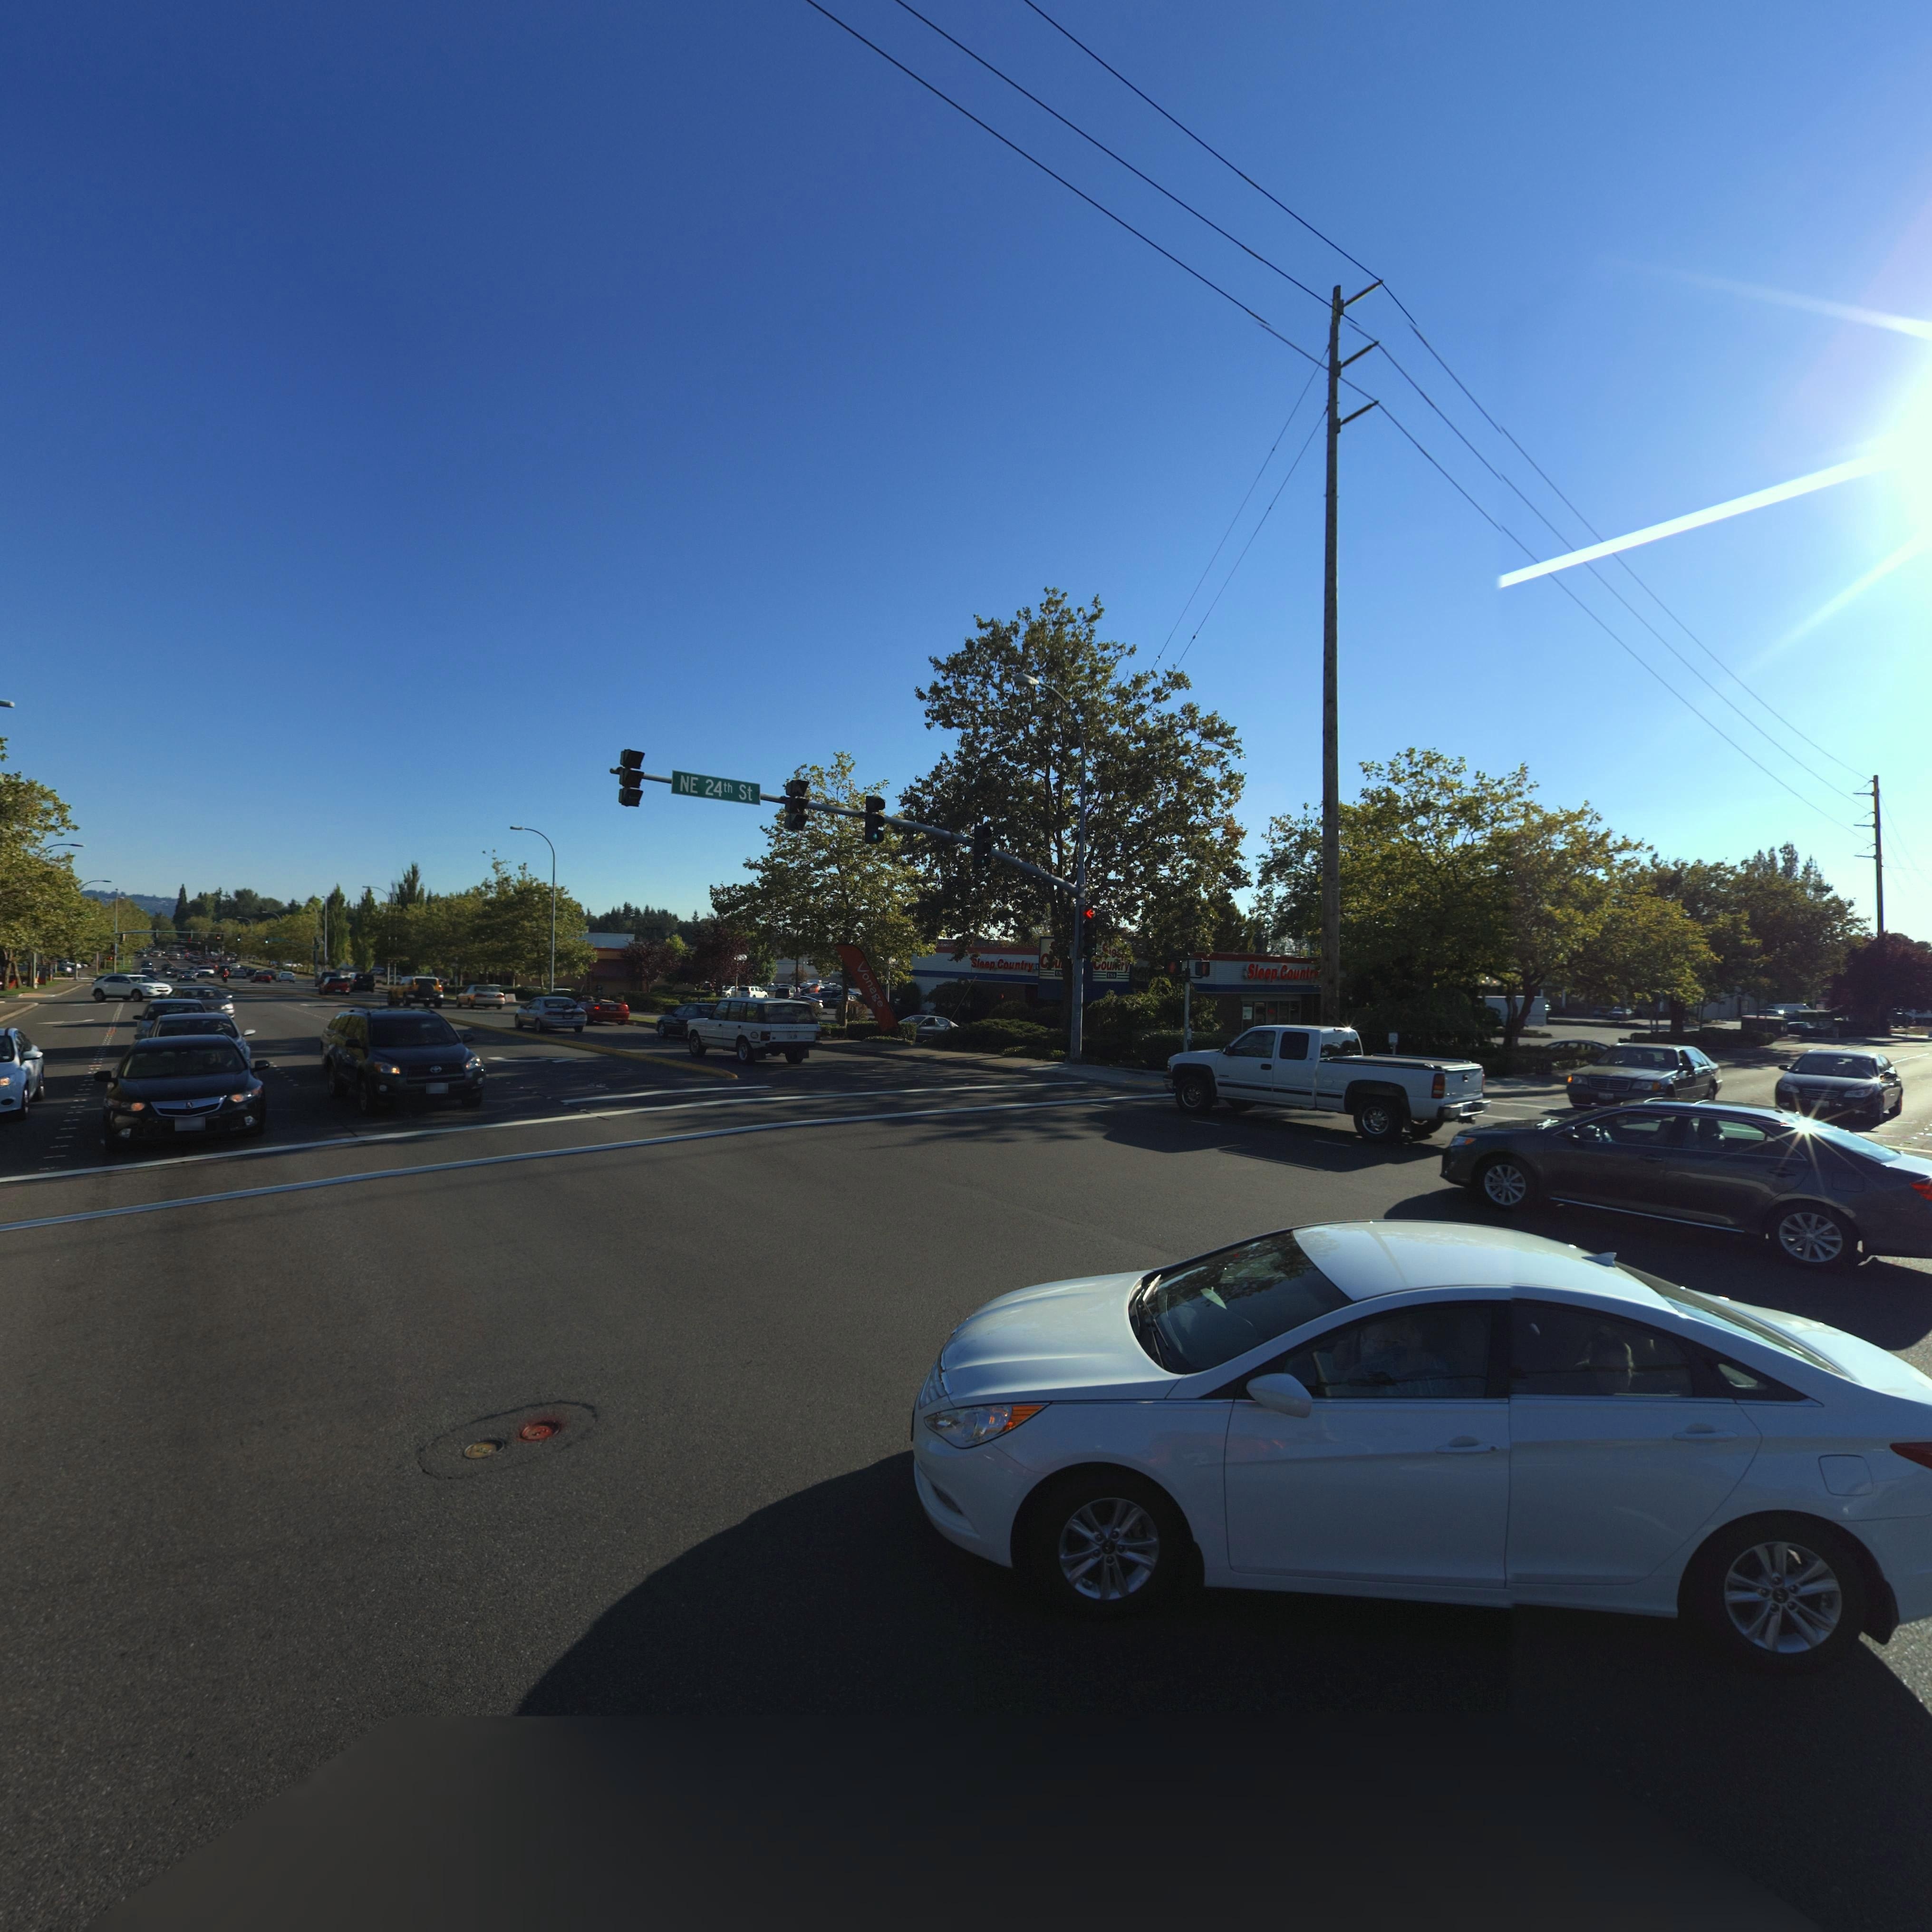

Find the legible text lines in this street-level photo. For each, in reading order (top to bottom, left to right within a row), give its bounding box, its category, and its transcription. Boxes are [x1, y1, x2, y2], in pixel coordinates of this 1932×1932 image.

[677, 772, 755, 802] StreetName: NE 24th St
[970, 956, 1034, 974] BusinessName: Sleep Country
[1092, 954, 1130, 974] BusinessName: *ou**ry
[1106, 971, 1117, 979] BusinessName: USA
[1245, 962, 1322, 984] BusinessName: Sleep Countr*